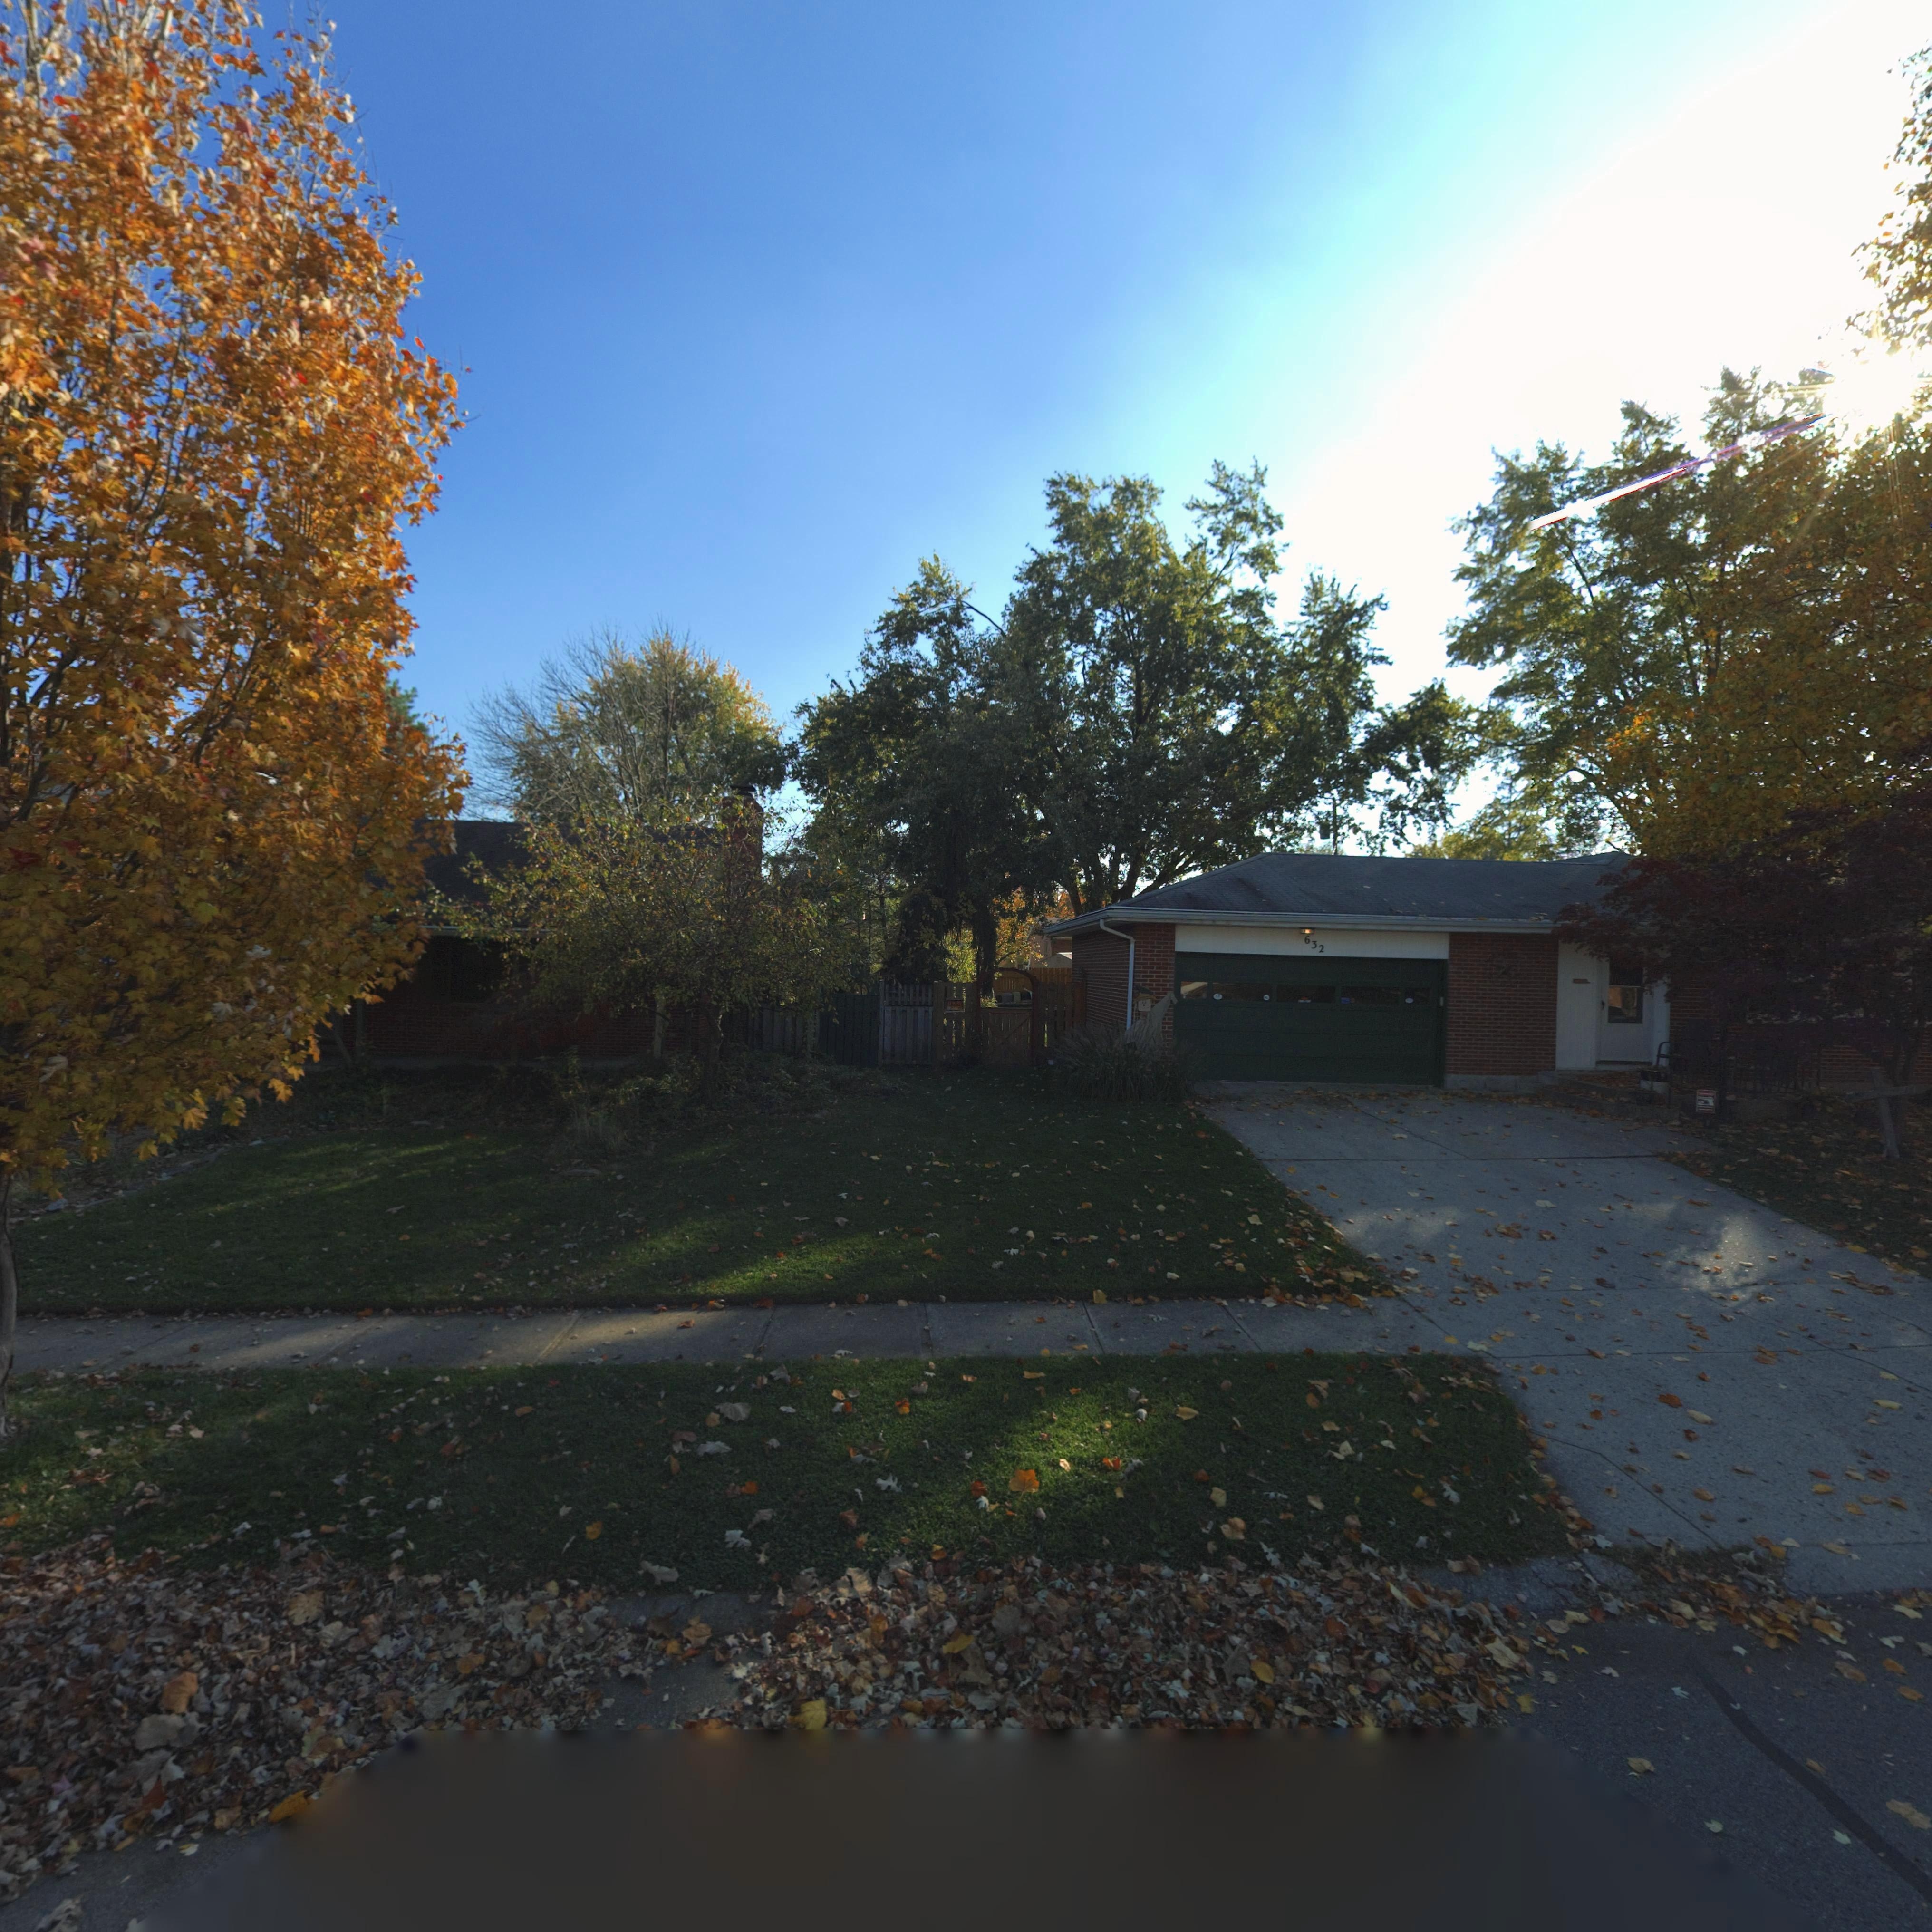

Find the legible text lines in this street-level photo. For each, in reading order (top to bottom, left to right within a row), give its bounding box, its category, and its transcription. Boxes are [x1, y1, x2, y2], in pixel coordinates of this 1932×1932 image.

[1303, 934, 1325, 955] StreetNumber: 632